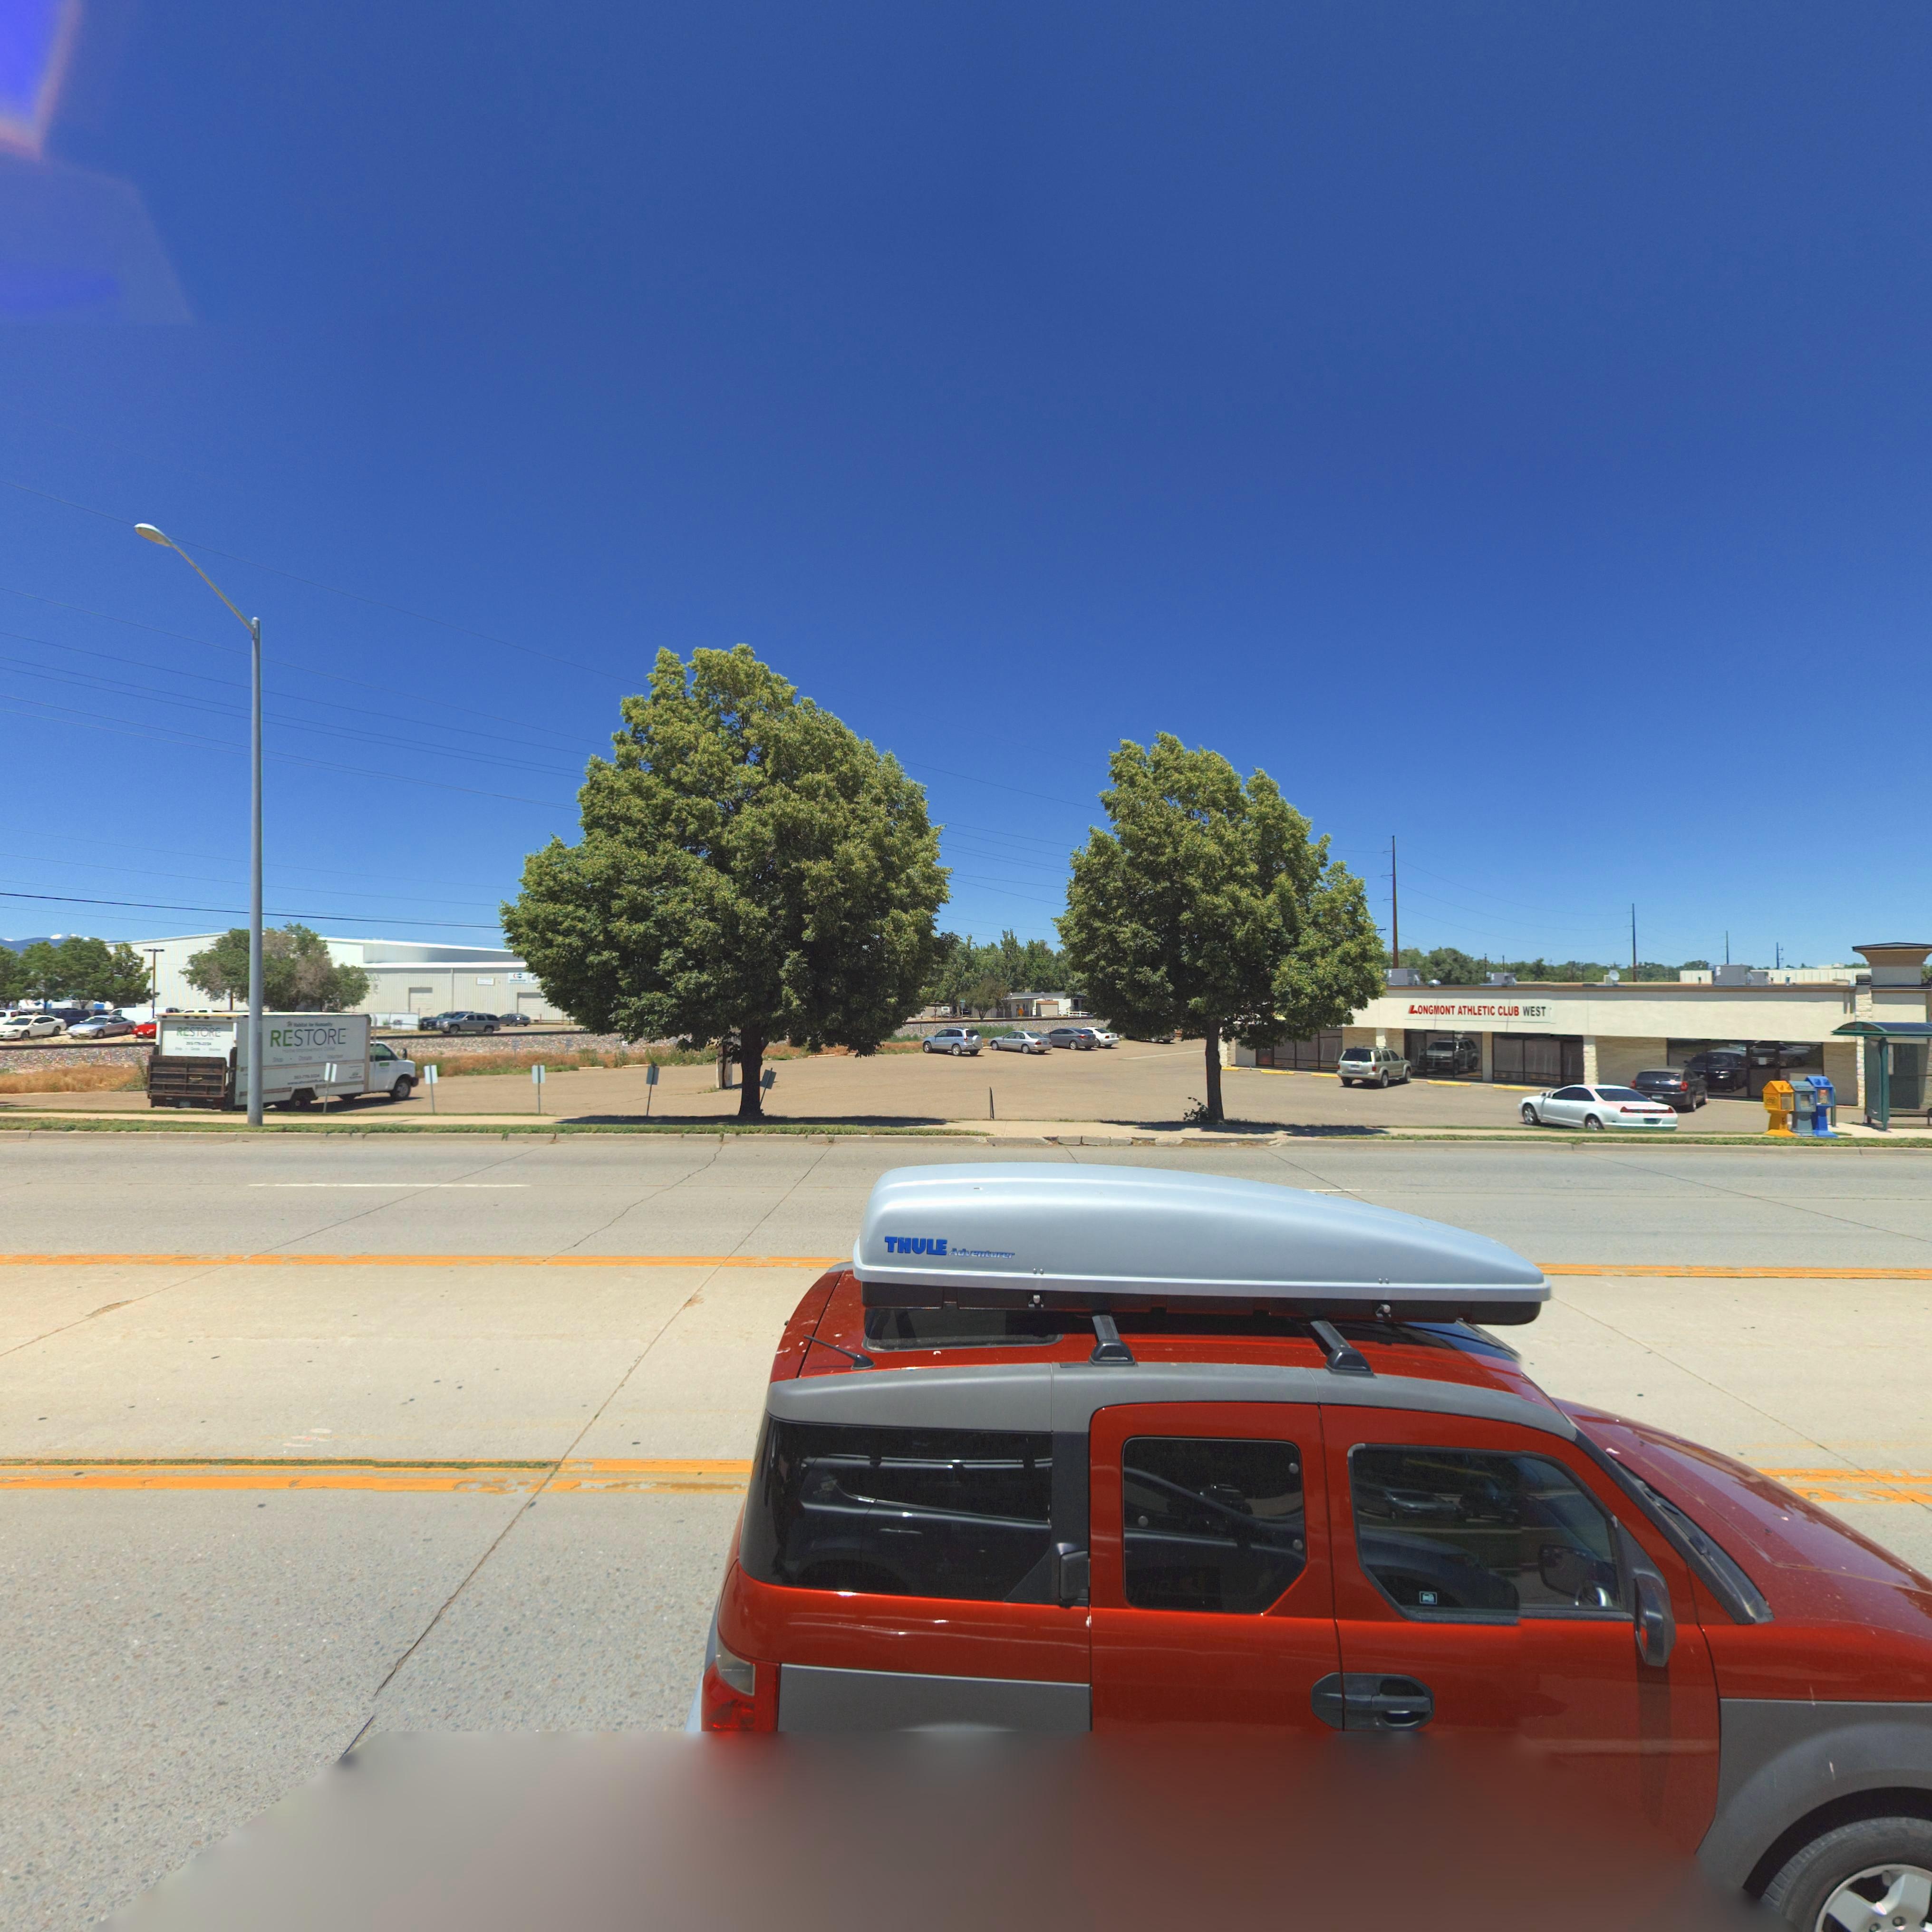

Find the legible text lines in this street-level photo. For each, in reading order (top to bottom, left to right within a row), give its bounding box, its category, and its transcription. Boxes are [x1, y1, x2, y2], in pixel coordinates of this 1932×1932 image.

[1408, 1004, 1546, 1016] BusinessName: LONGMONT ATHLETIC CLUB WEST